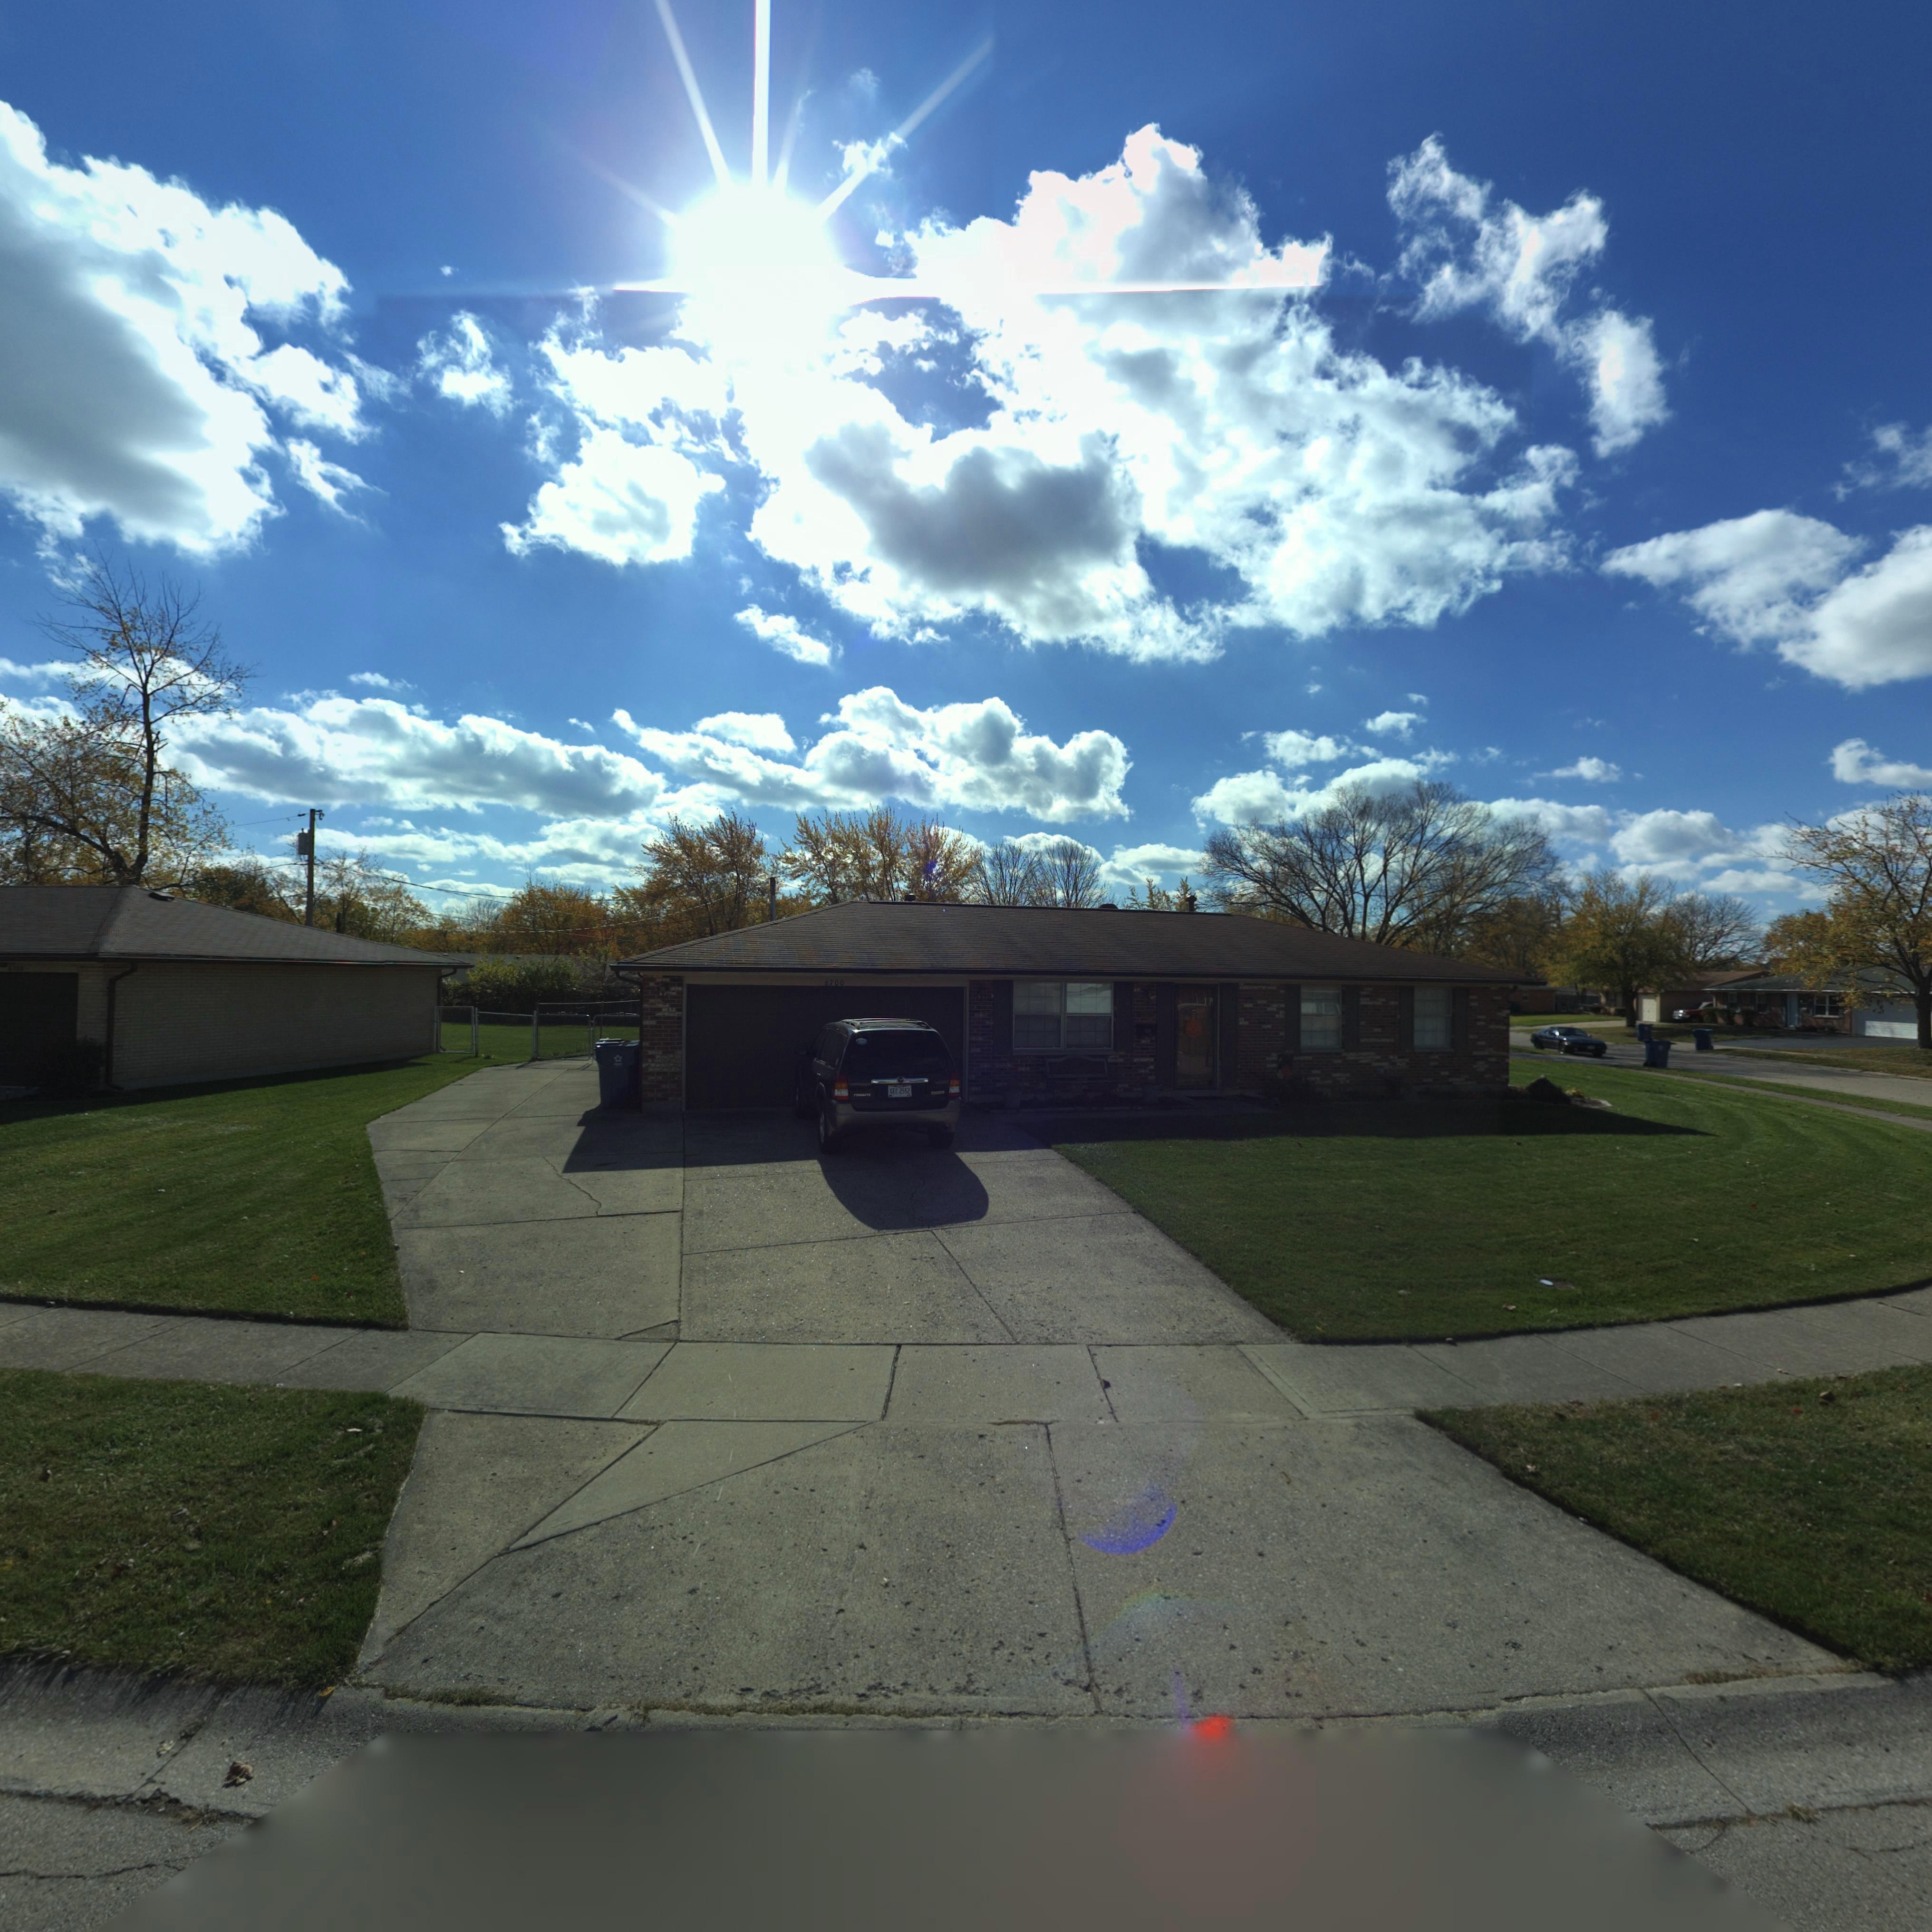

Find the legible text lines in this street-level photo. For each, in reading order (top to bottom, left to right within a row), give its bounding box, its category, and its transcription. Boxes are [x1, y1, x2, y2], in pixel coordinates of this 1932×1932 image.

[7, 965, 24, 971] StreetNumber: 6***
[824, 978, 844, 986] StreetNumber: 6700